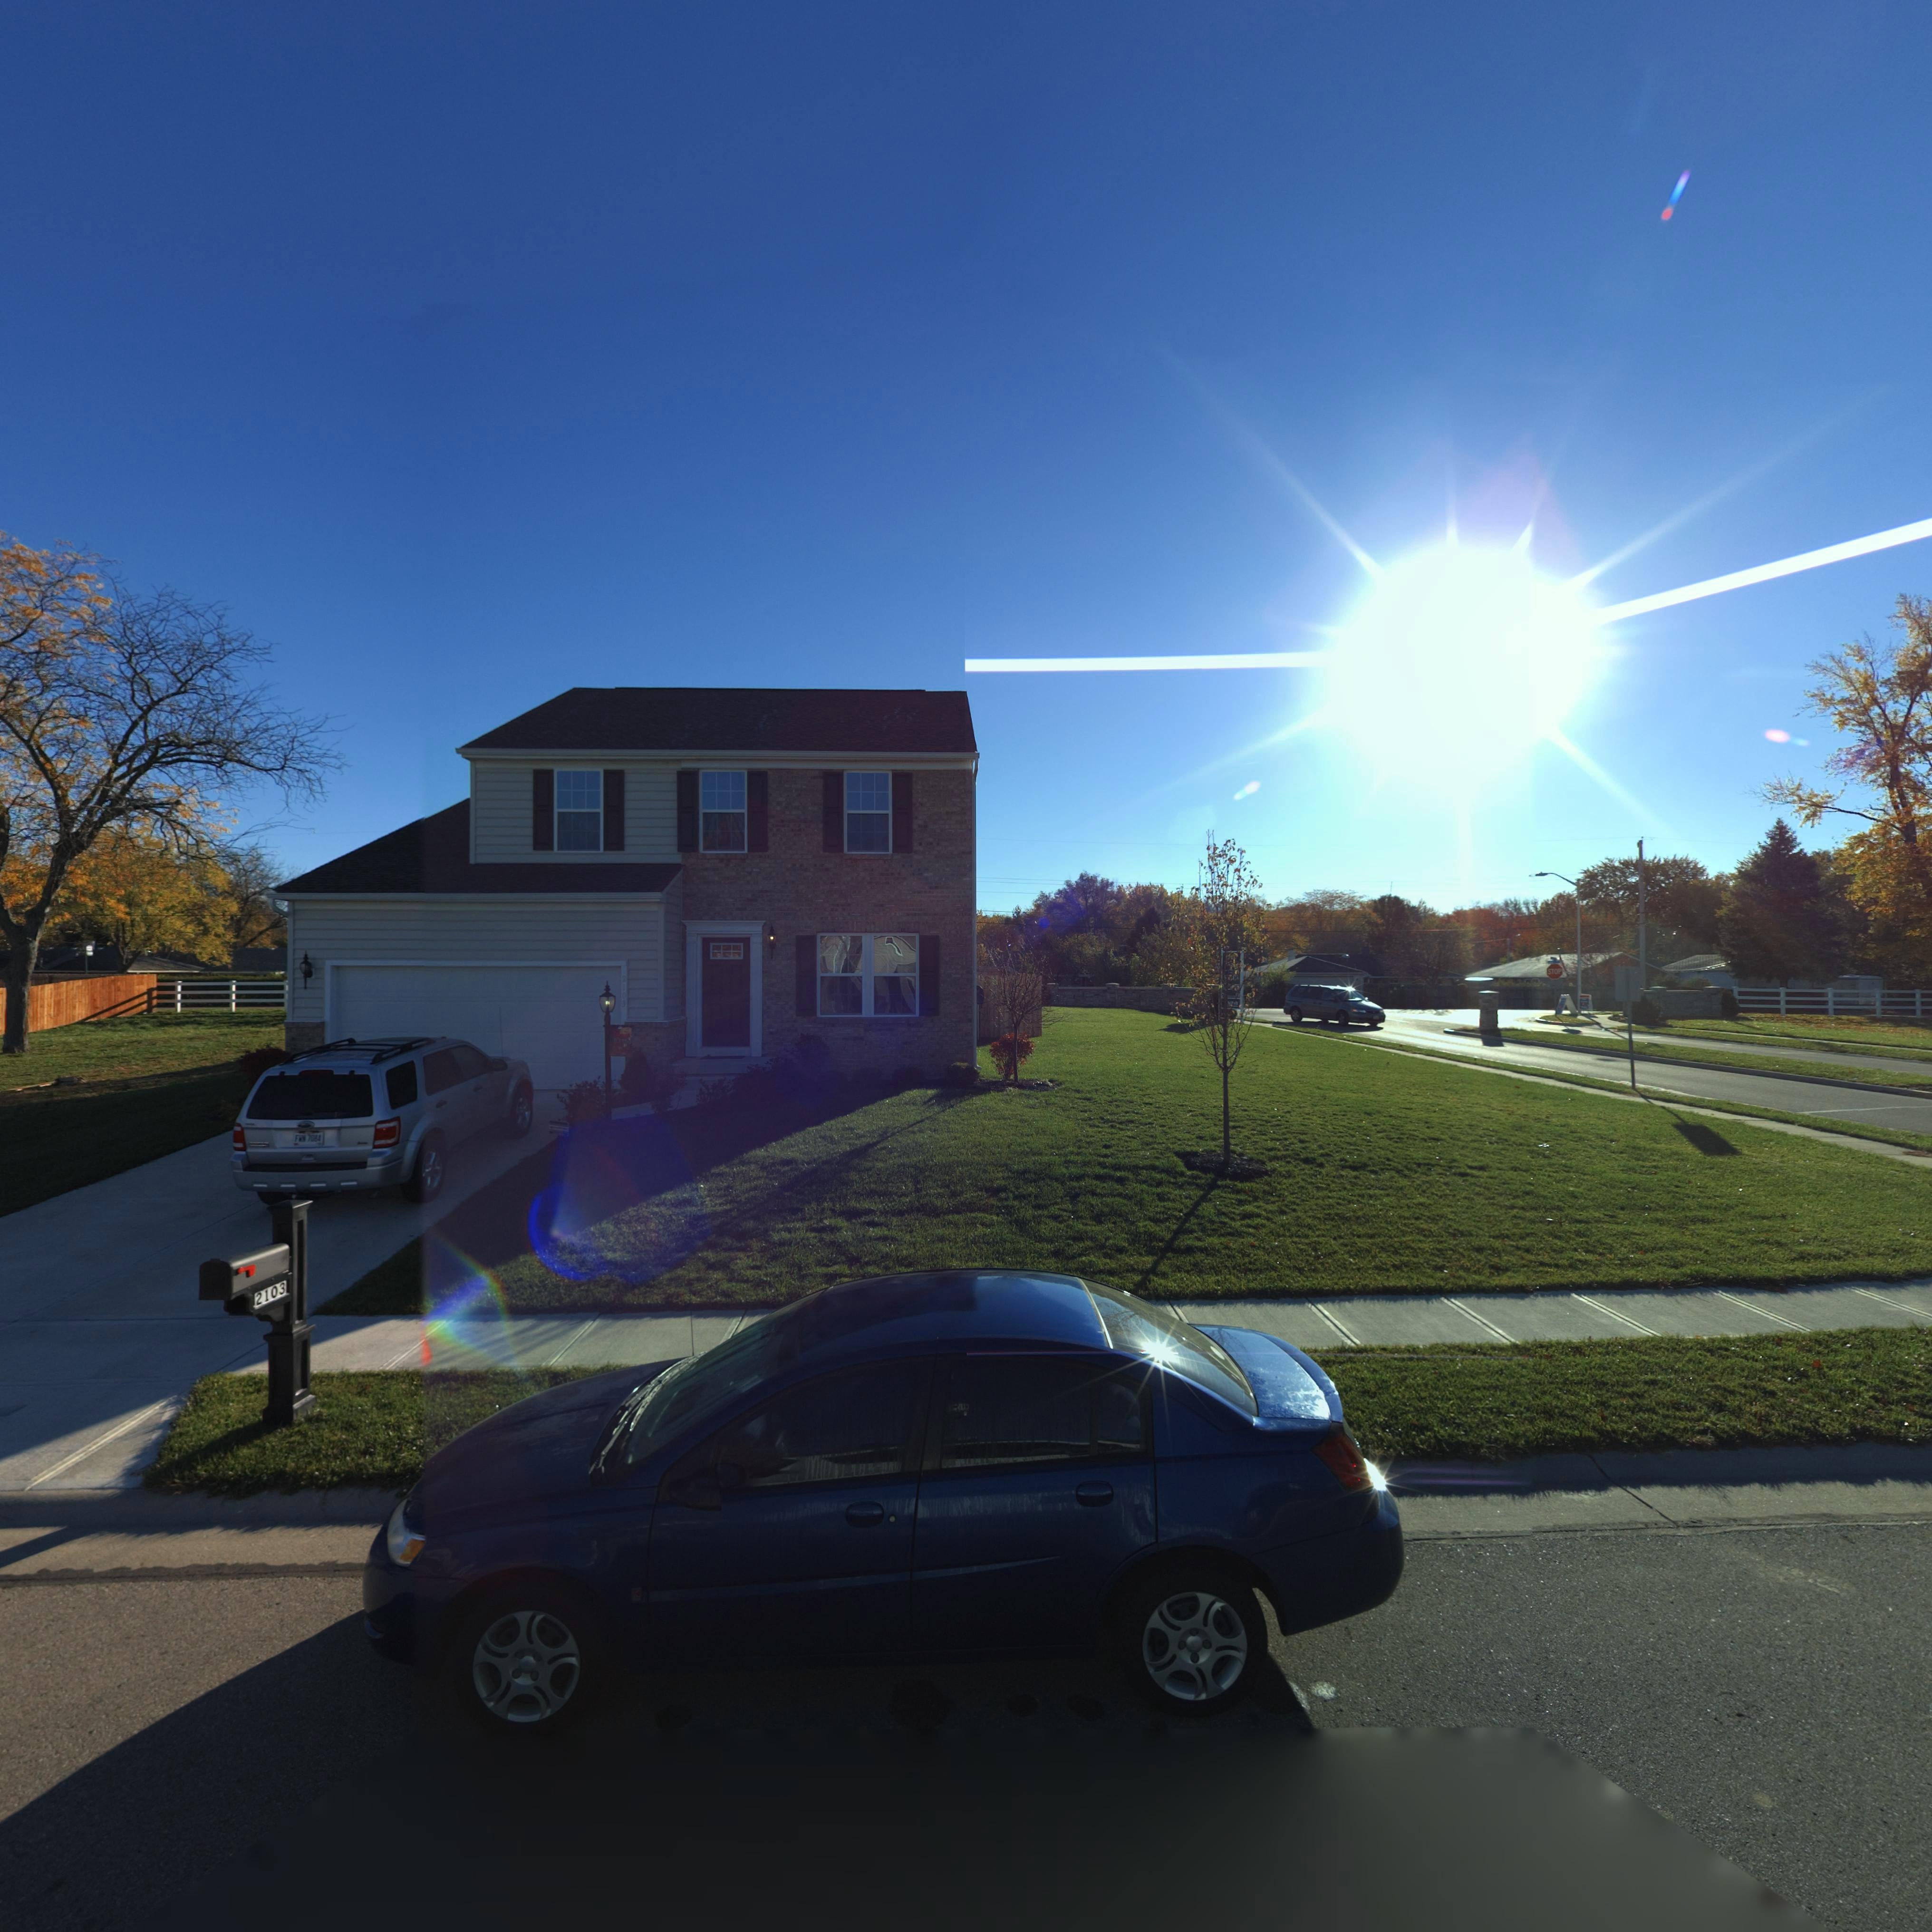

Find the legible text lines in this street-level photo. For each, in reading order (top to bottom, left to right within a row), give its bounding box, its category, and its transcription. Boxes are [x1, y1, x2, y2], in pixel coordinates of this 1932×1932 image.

[621, 975, 627, 1008] StreetNumber: 2103
[255, 1280, 286, 1307] StreetNumber: 2103